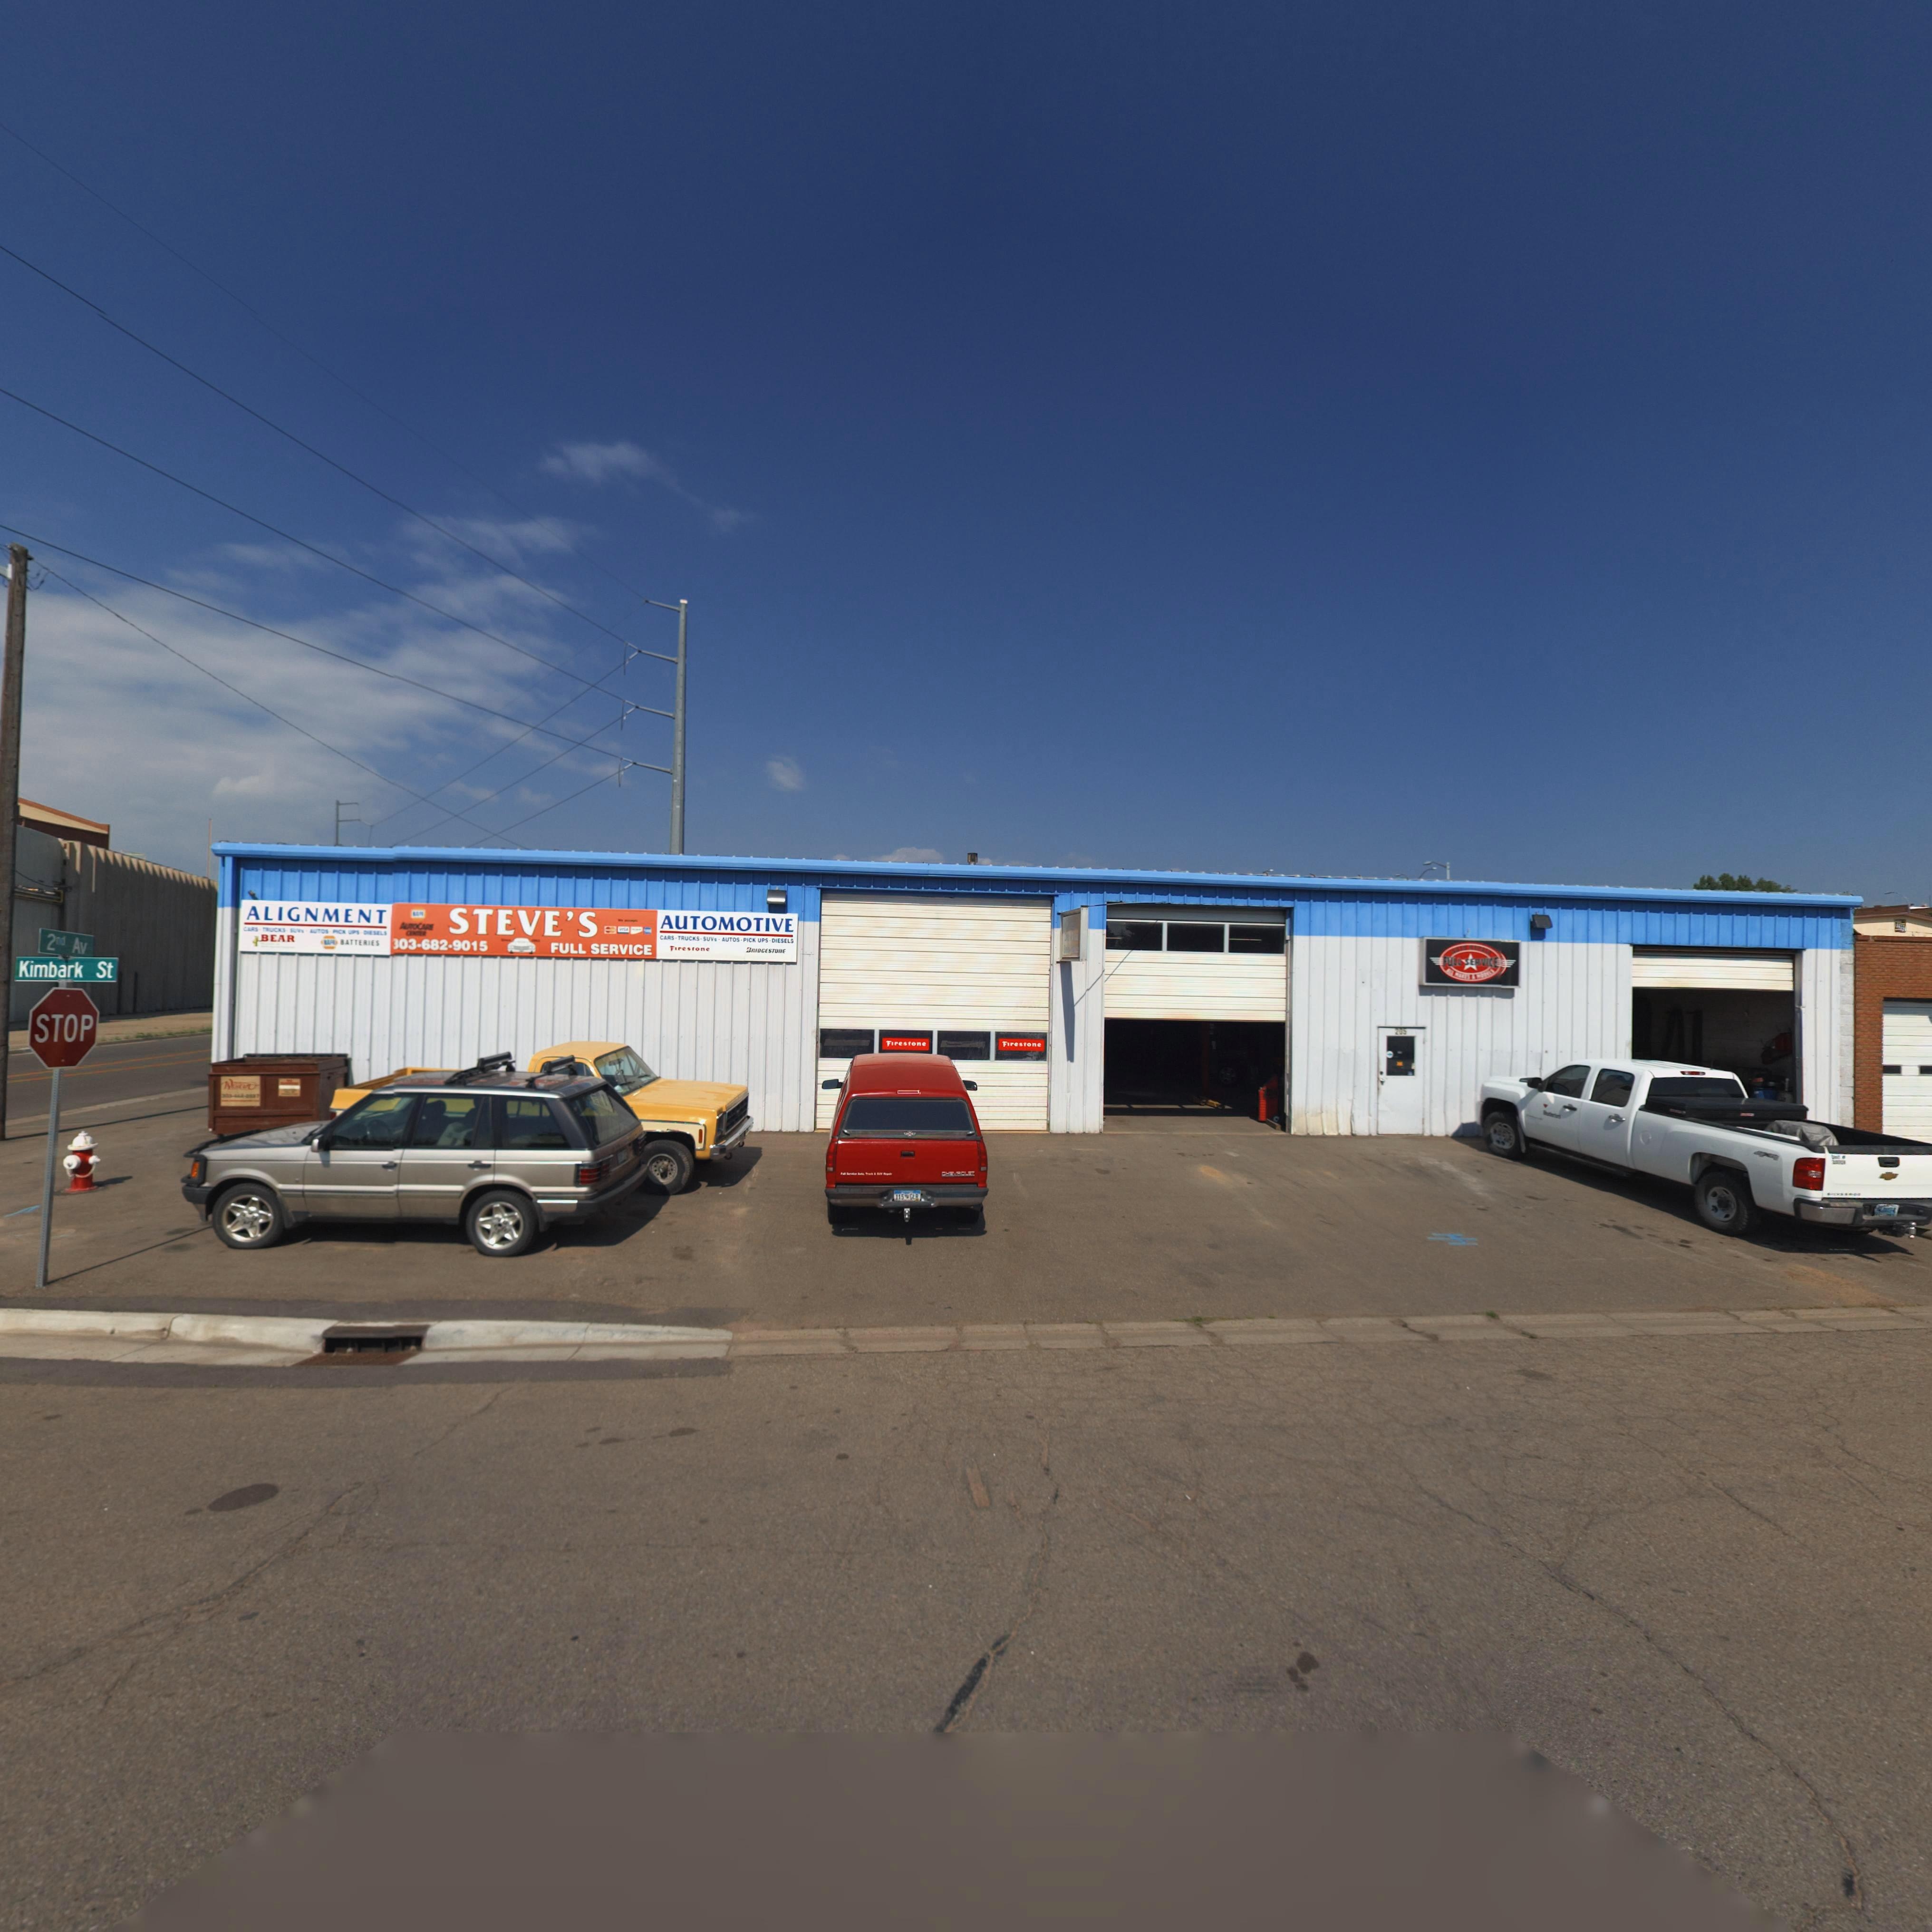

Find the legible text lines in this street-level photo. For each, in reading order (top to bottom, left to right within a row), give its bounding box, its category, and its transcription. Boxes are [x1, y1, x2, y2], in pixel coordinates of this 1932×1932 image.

[448, 907, 598, 938] BusinessName: STEVE'S
[660, 915, 793, 932] BusinessName: AUTOMOTIVE
[46, 933, 87, 955] StreetName: 2nd Av
[19, 960, 114, 978] StreetName: Kimbark St
[1394, 1027, 1407, 1034] StreetNumber: 205